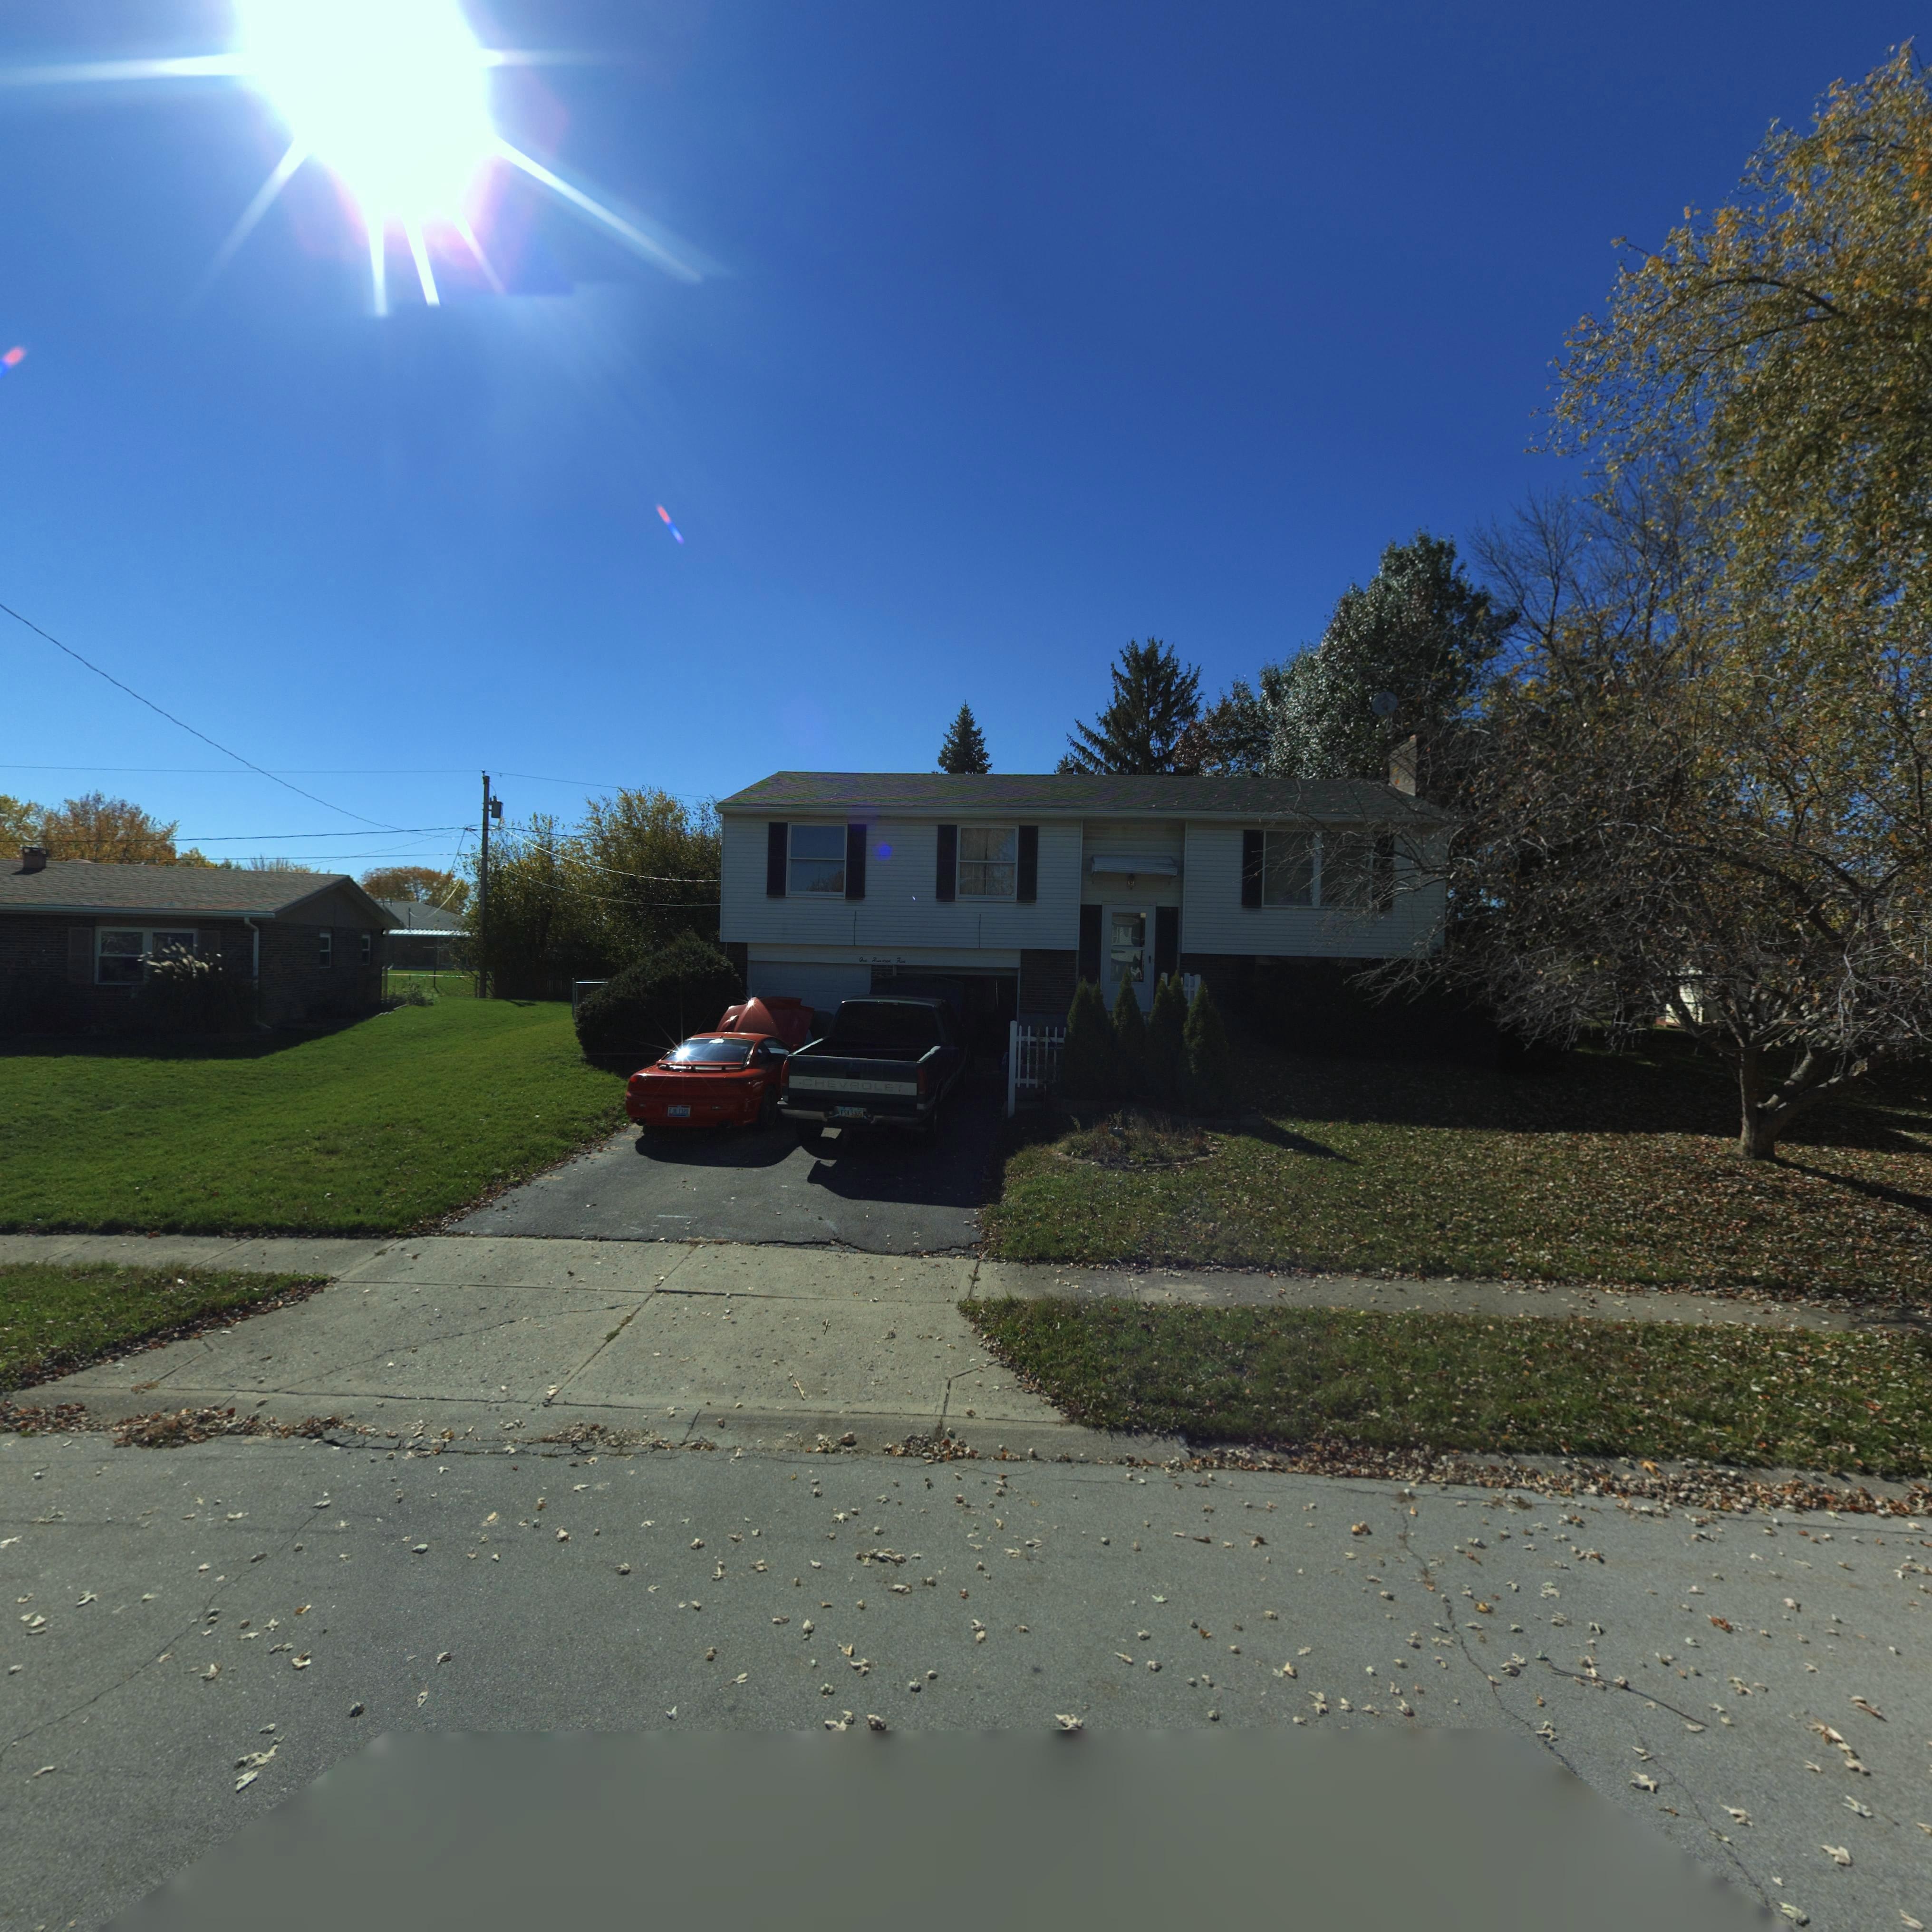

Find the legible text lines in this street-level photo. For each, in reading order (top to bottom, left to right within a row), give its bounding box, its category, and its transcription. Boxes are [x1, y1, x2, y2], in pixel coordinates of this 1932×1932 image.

[859, 956, 863, 963] StreetNumber: O
[871, 956, 878, 963] StreetNumber: H
[896, 956, 901, 964] StreetNumber: F